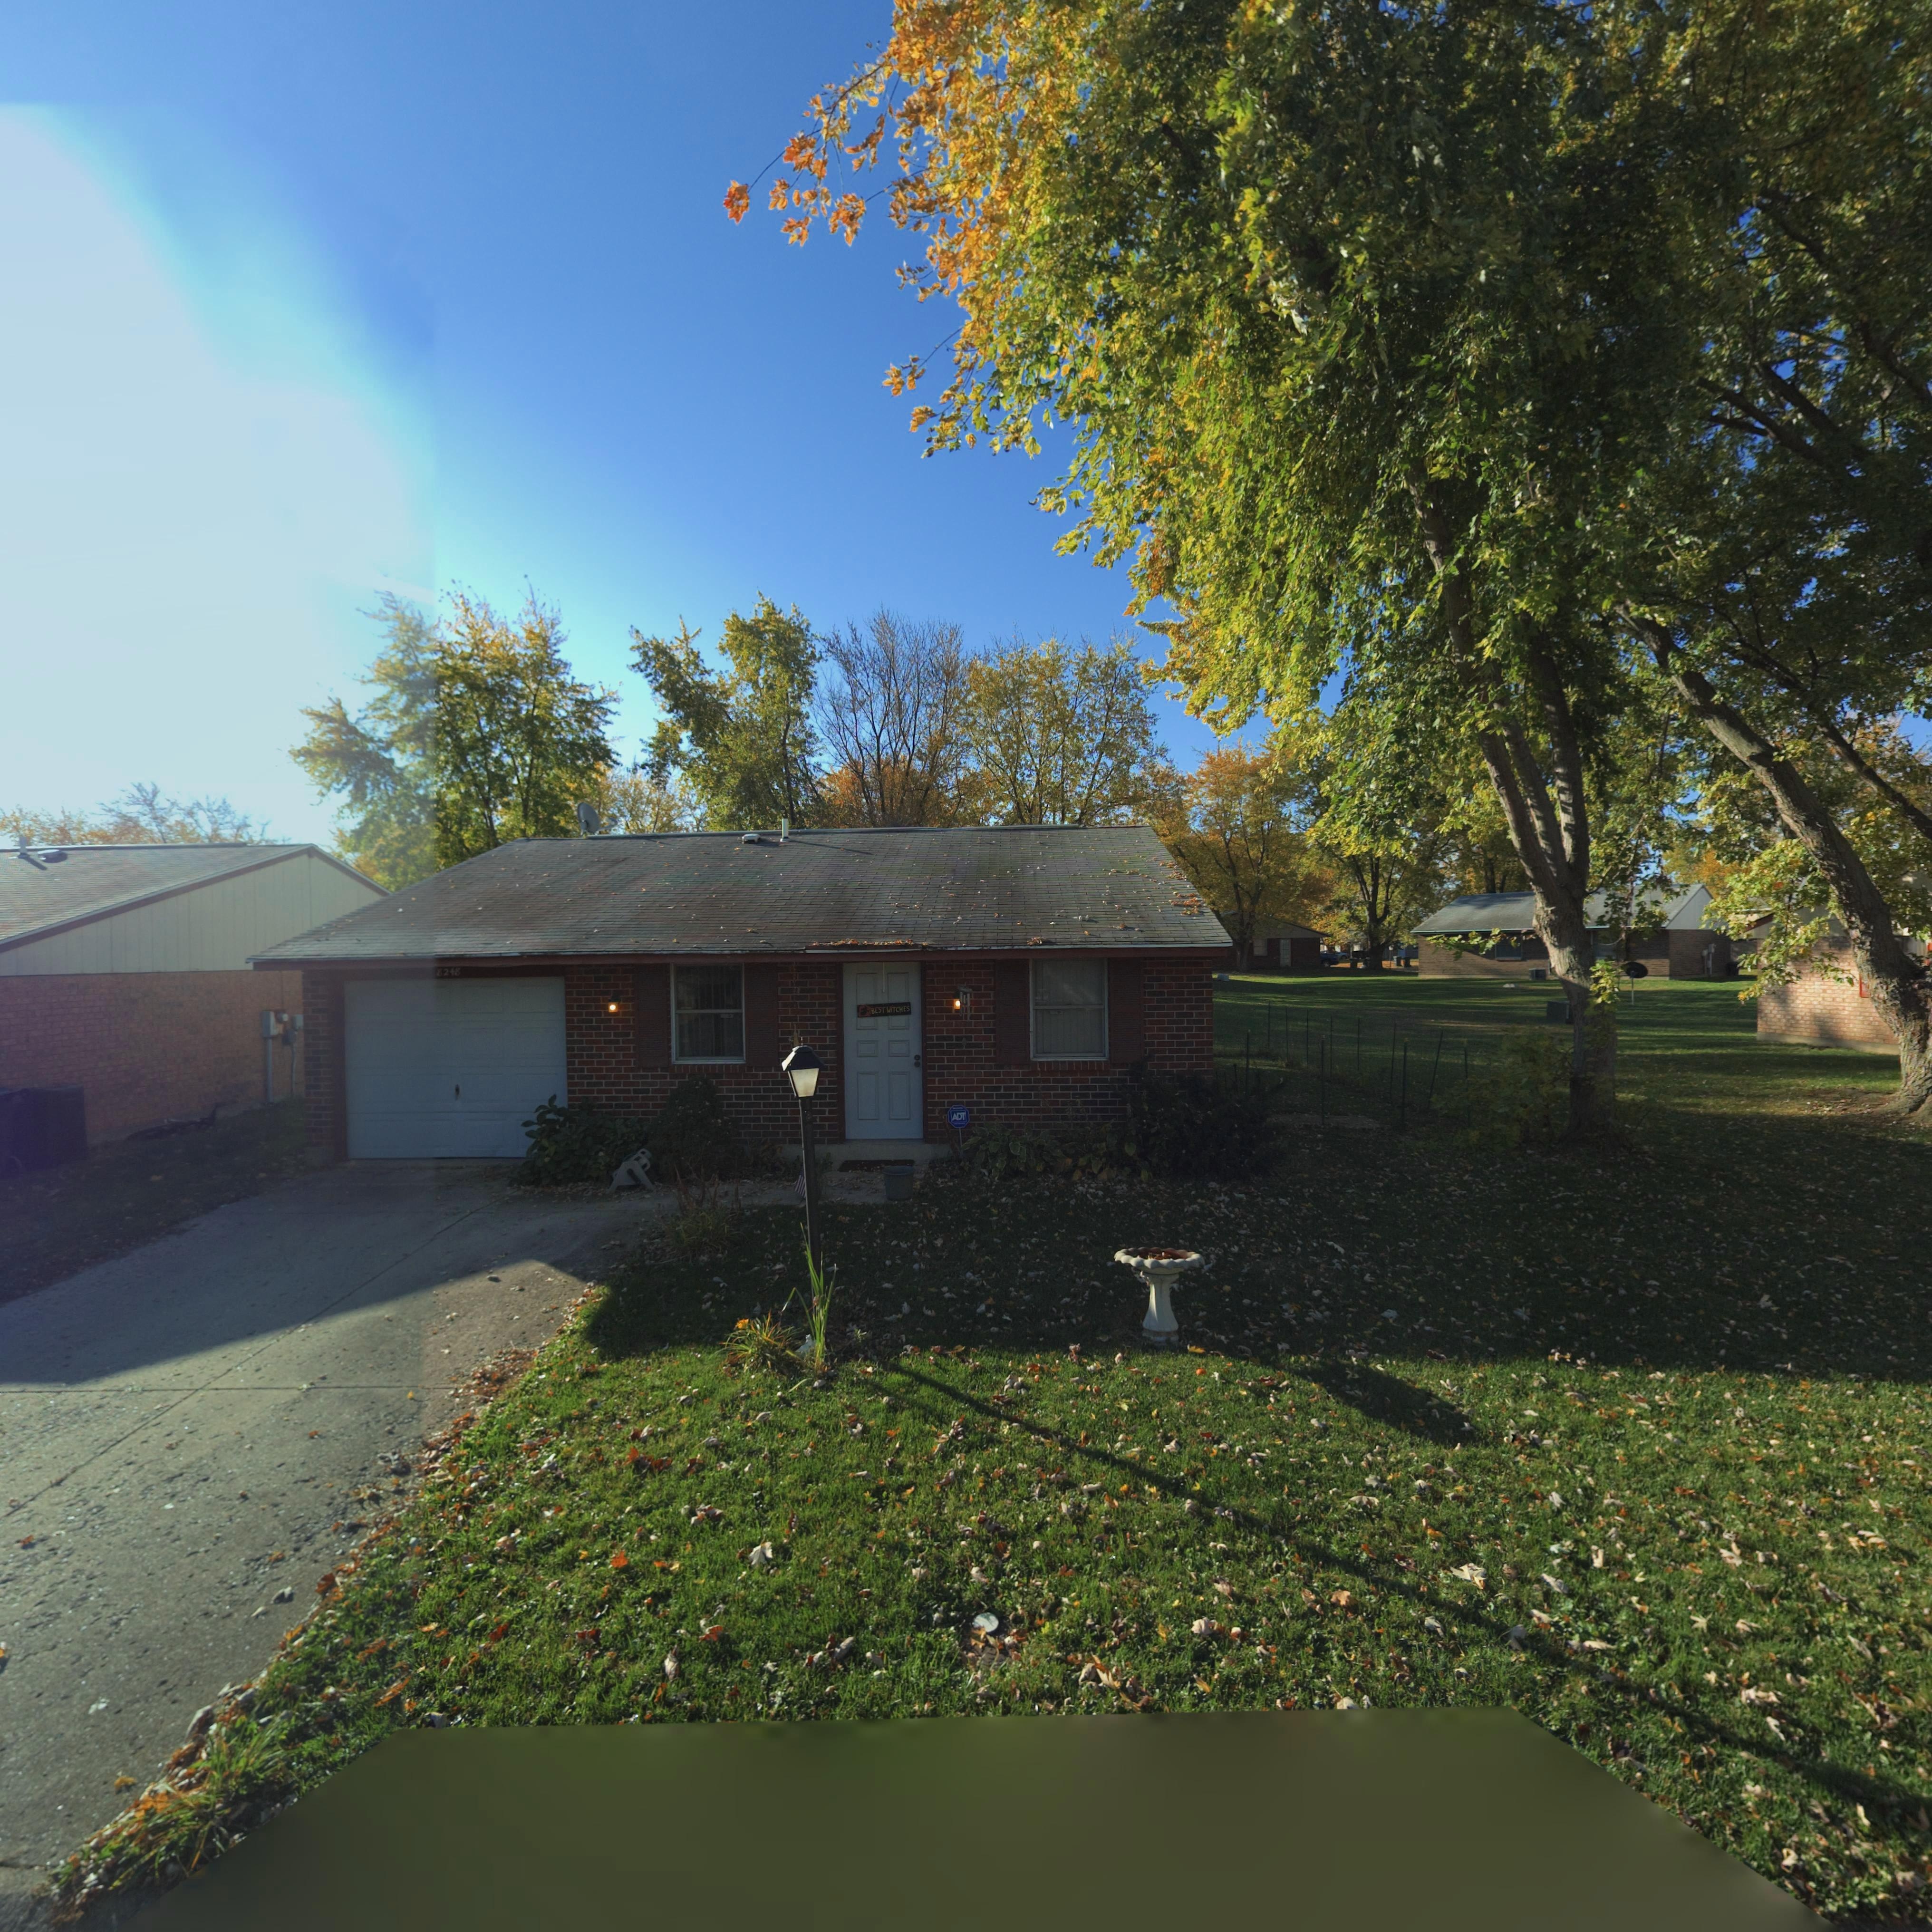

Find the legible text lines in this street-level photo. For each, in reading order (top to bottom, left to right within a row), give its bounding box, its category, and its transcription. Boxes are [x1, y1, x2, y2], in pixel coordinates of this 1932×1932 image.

[435, 966, 462, 978] StreetNumber: 8248